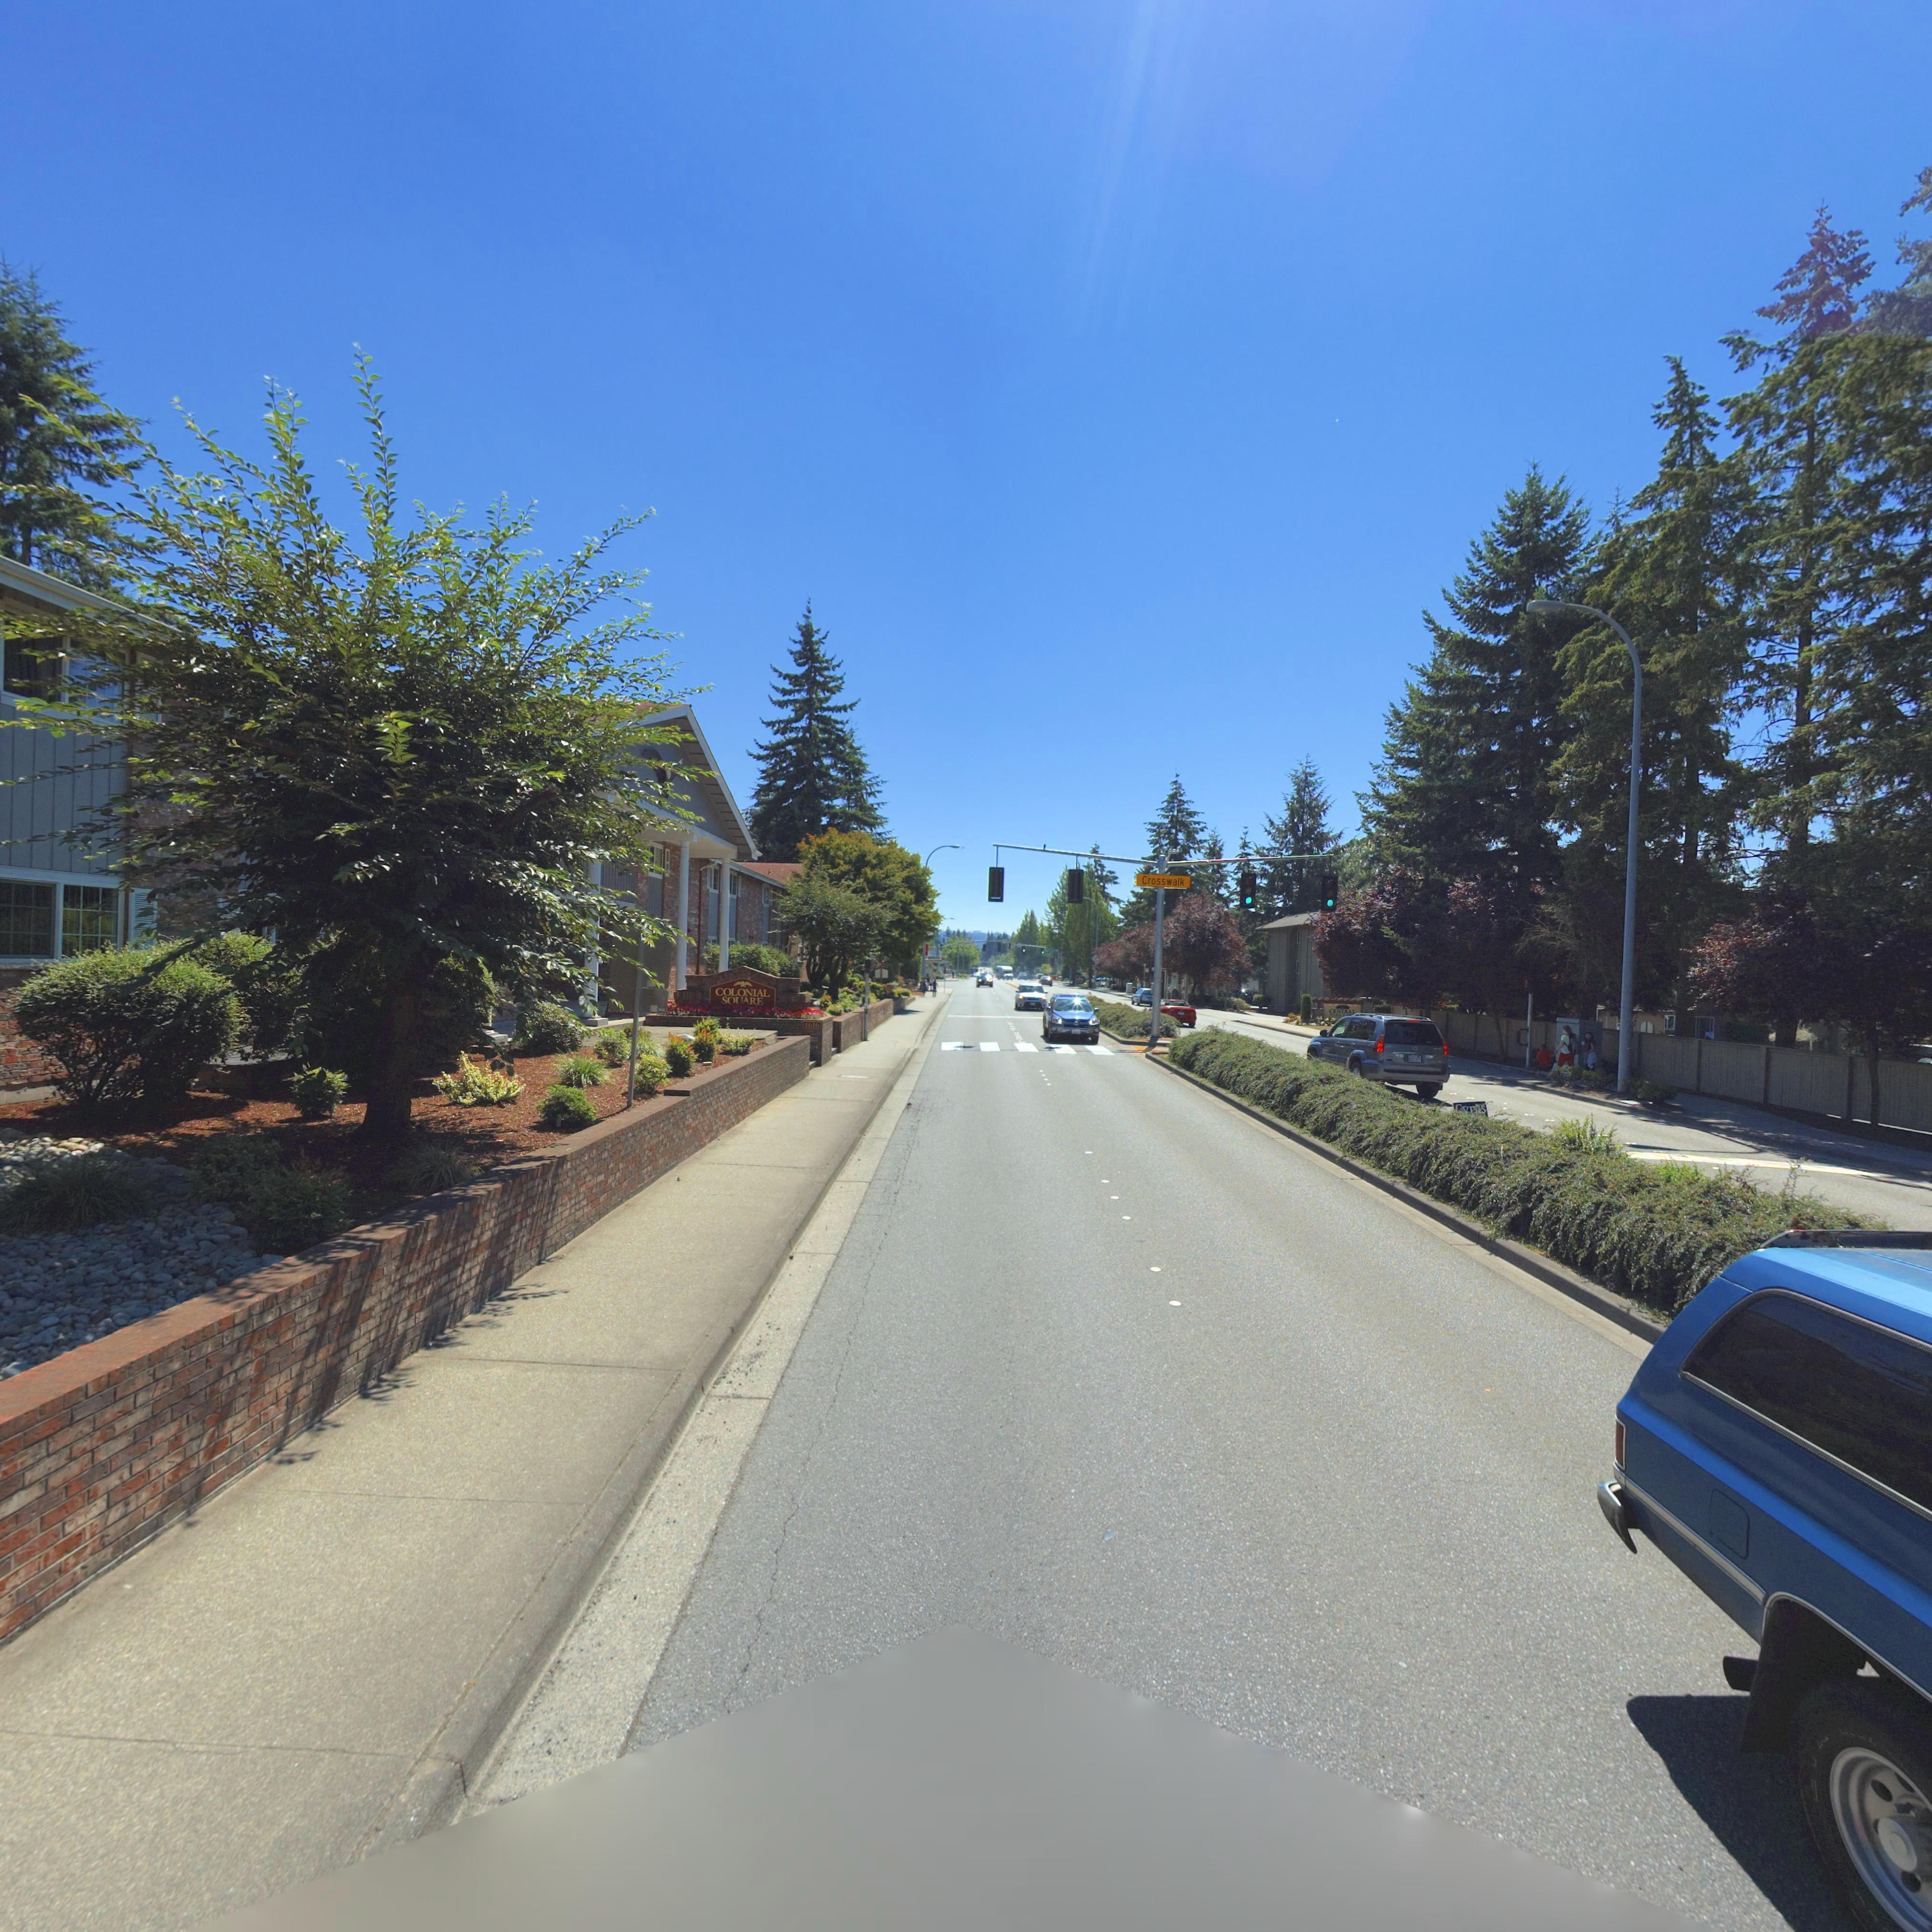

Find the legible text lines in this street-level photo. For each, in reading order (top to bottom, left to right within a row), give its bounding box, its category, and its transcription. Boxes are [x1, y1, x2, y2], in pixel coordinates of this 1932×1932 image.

[714, 986, 771, 998] StreetNumber: 1616
[720, 995, 764, 1006] BusinessName: SQUARE